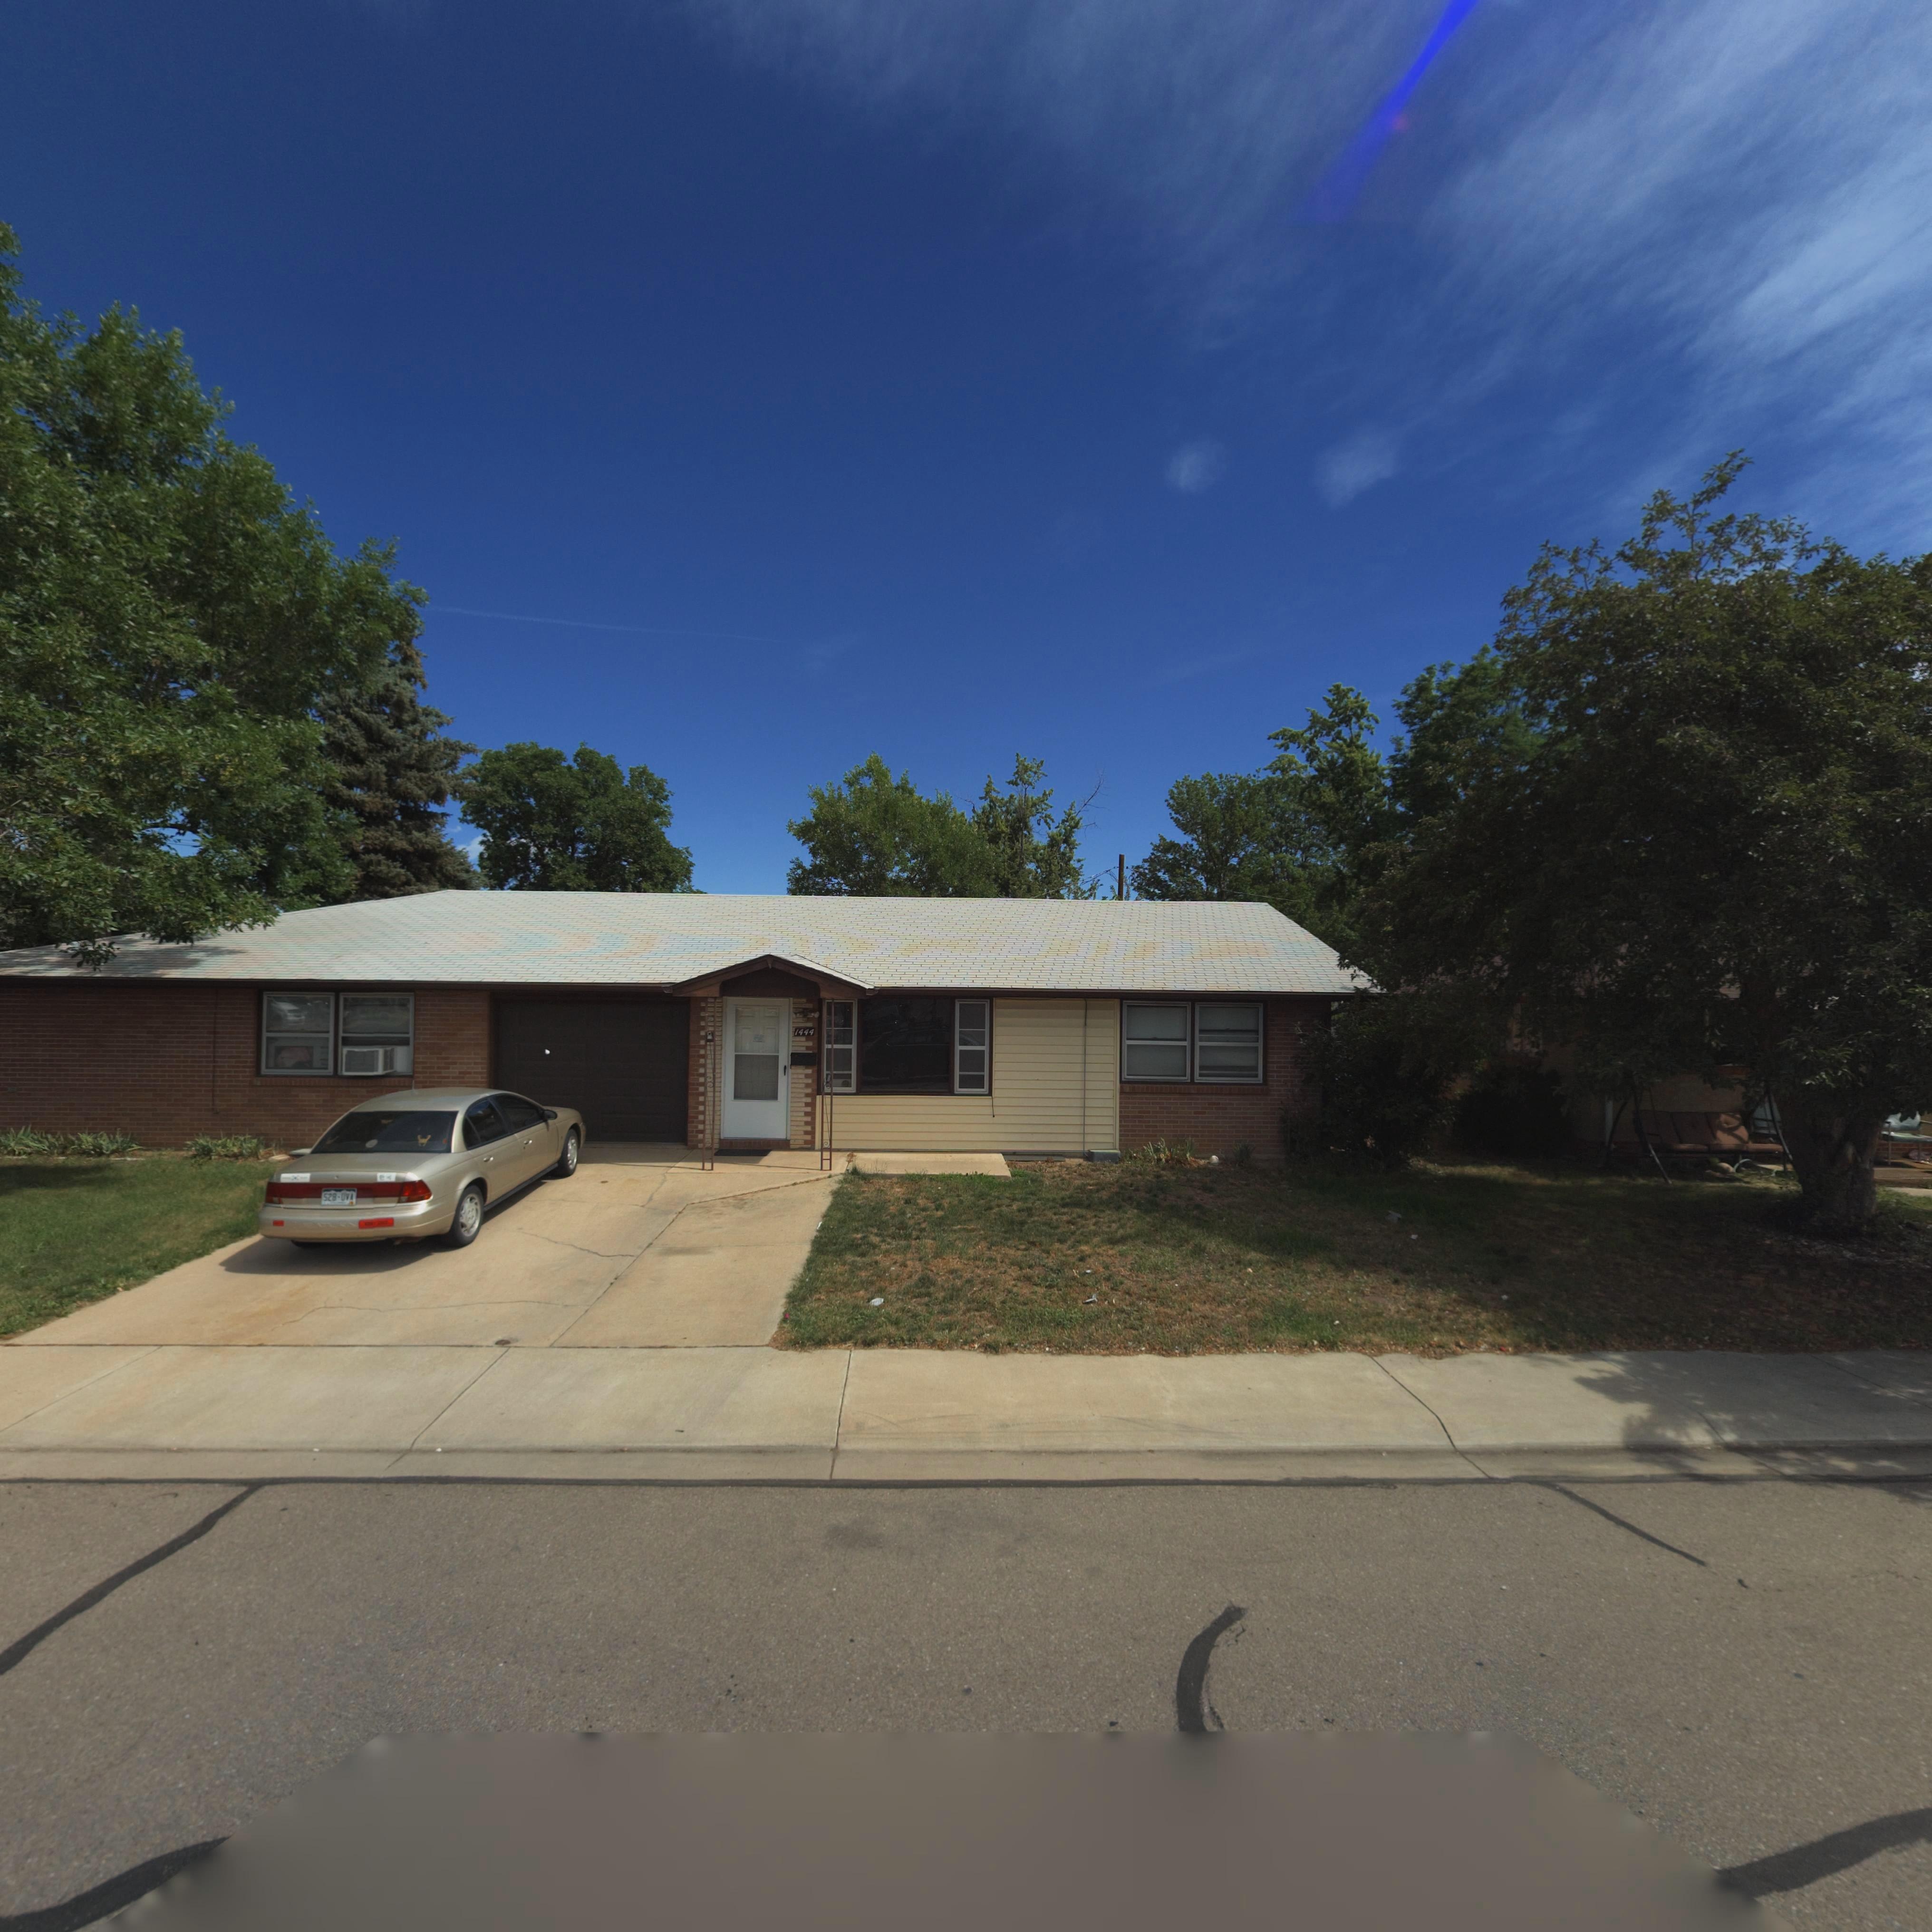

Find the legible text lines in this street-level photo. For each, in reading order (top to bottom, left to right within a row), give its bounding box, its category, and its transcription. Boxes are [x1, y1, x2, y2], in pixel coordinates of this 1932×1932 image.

[794, 1028, 814, 1035] BusinessName: 1444